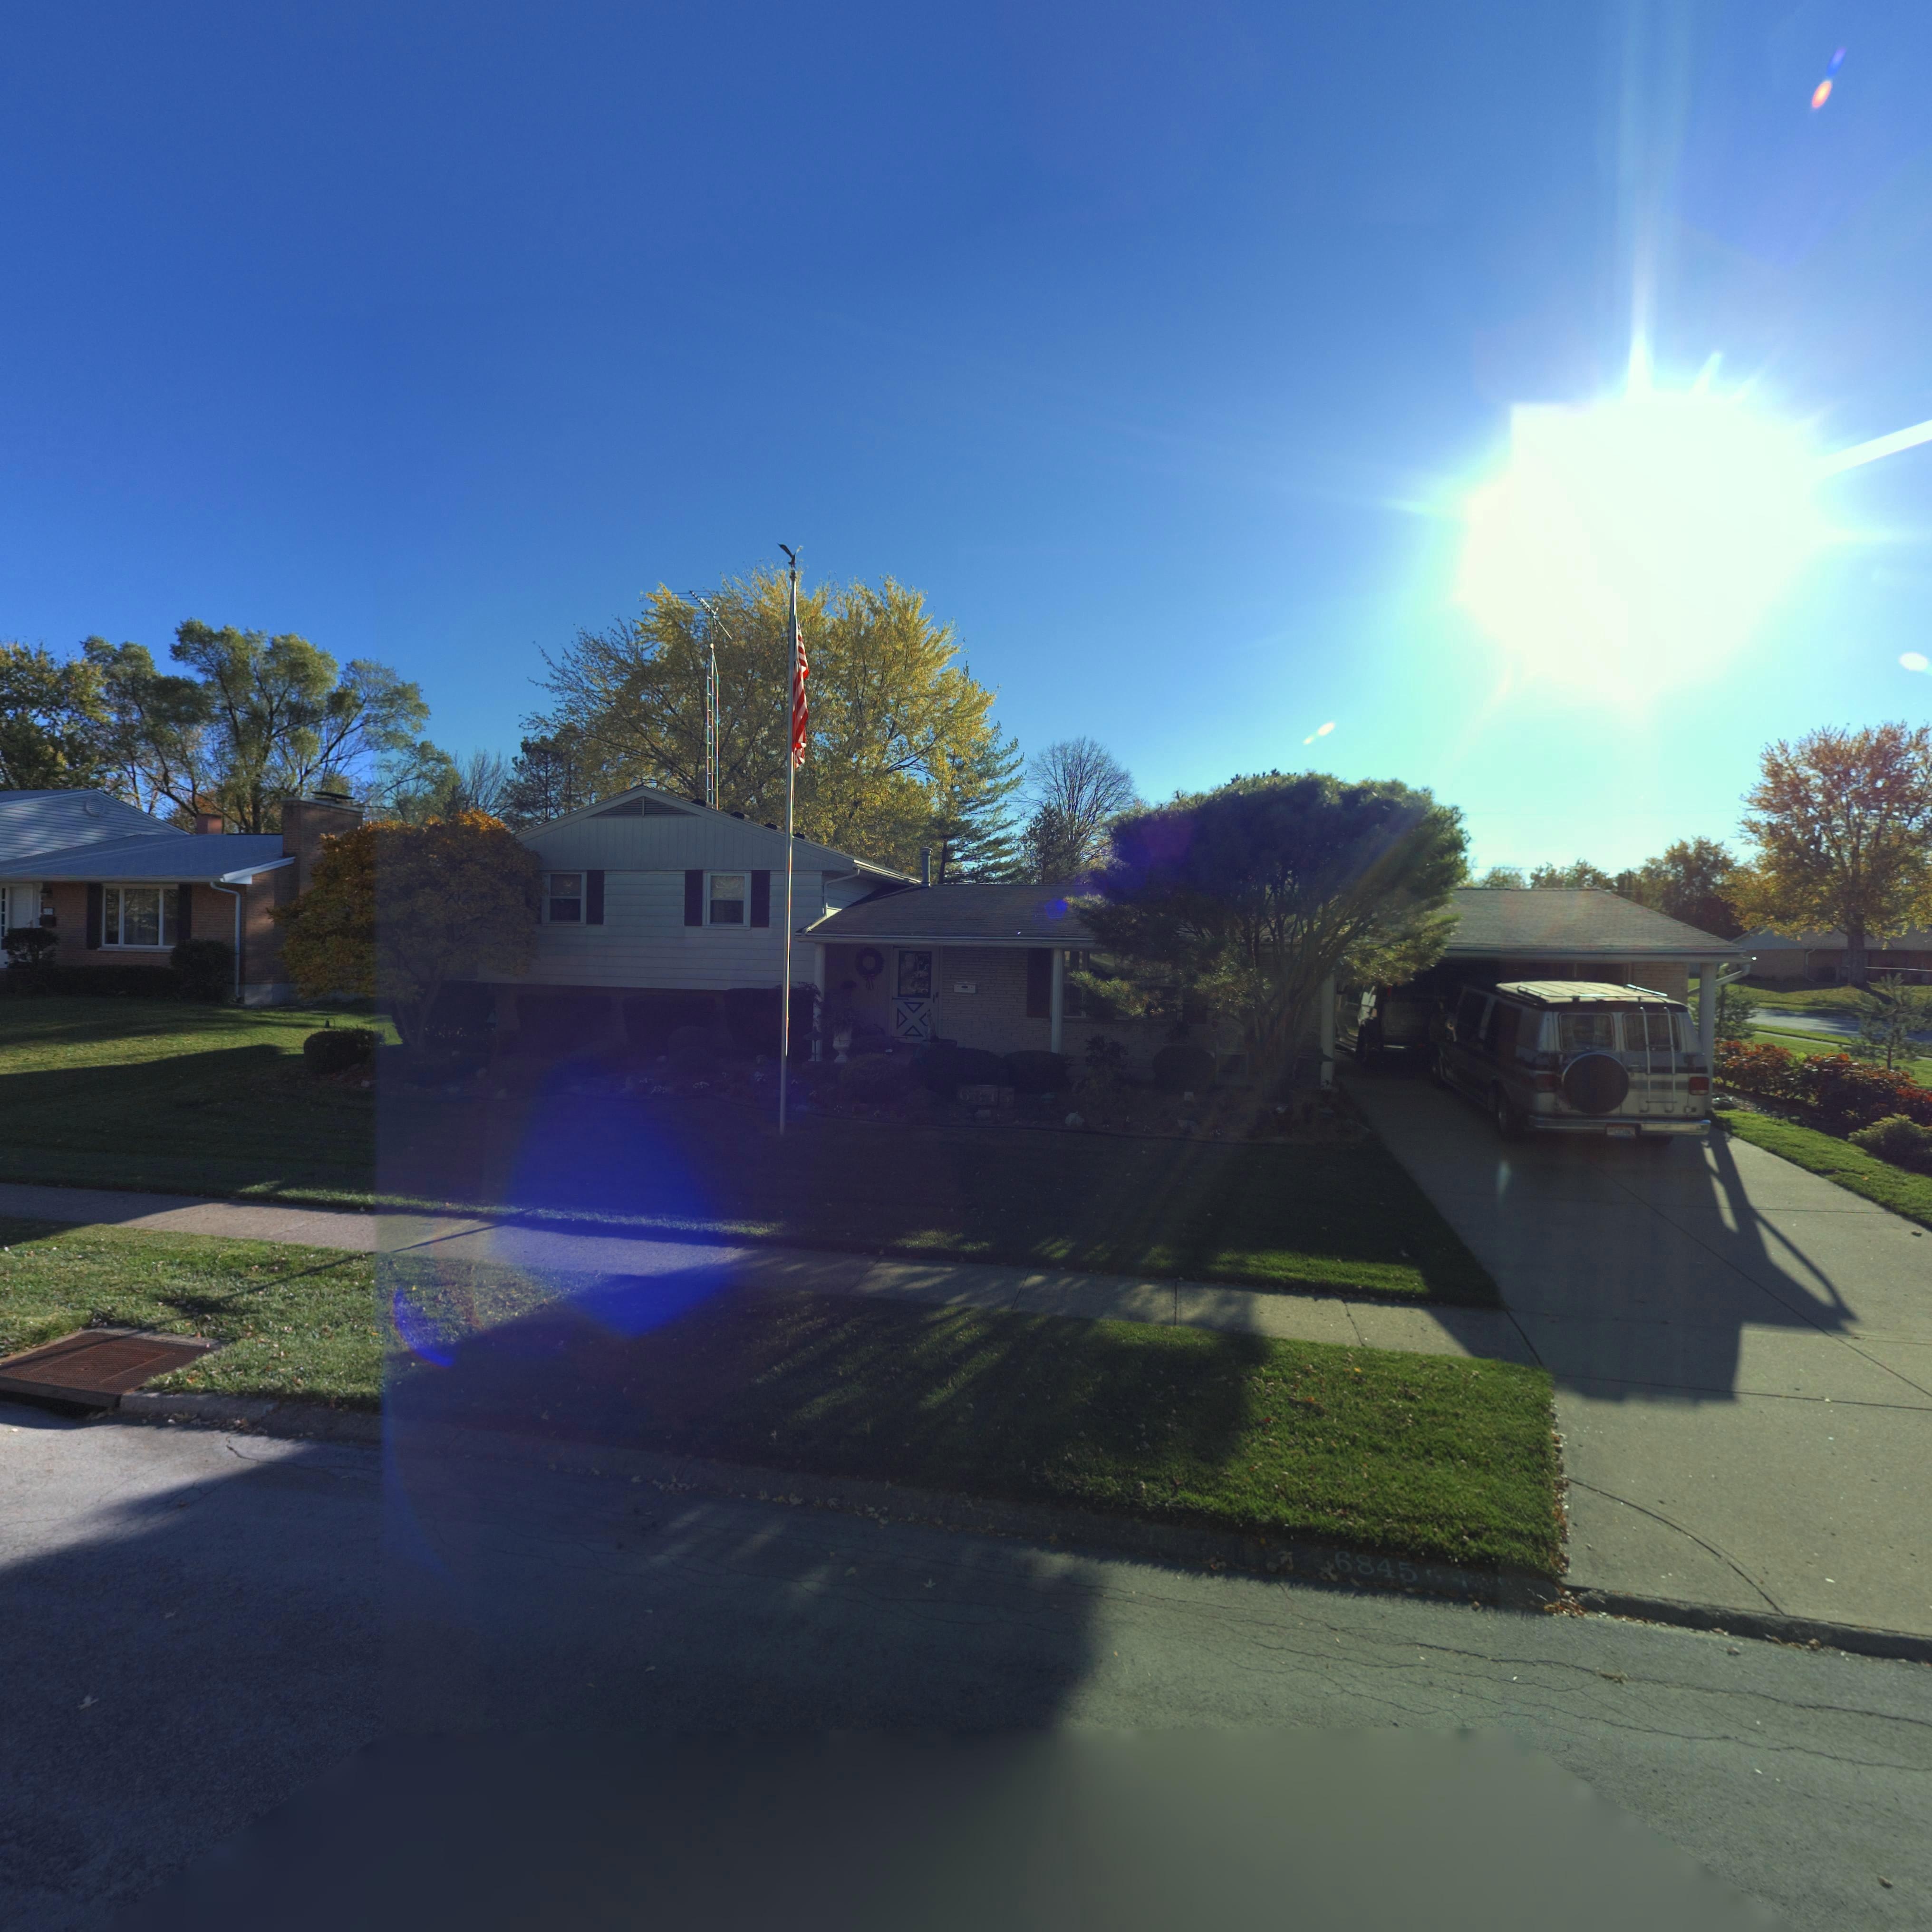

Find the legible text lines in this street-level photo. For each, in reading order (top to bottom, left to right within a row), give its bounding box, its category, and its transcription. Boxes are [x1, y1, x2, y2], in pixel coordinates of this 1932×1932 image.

[959, 1087, 1013, 1104] StreetNumber: 68*5
[1333, 1549, 1419, 1584] StreetNumber: 6845